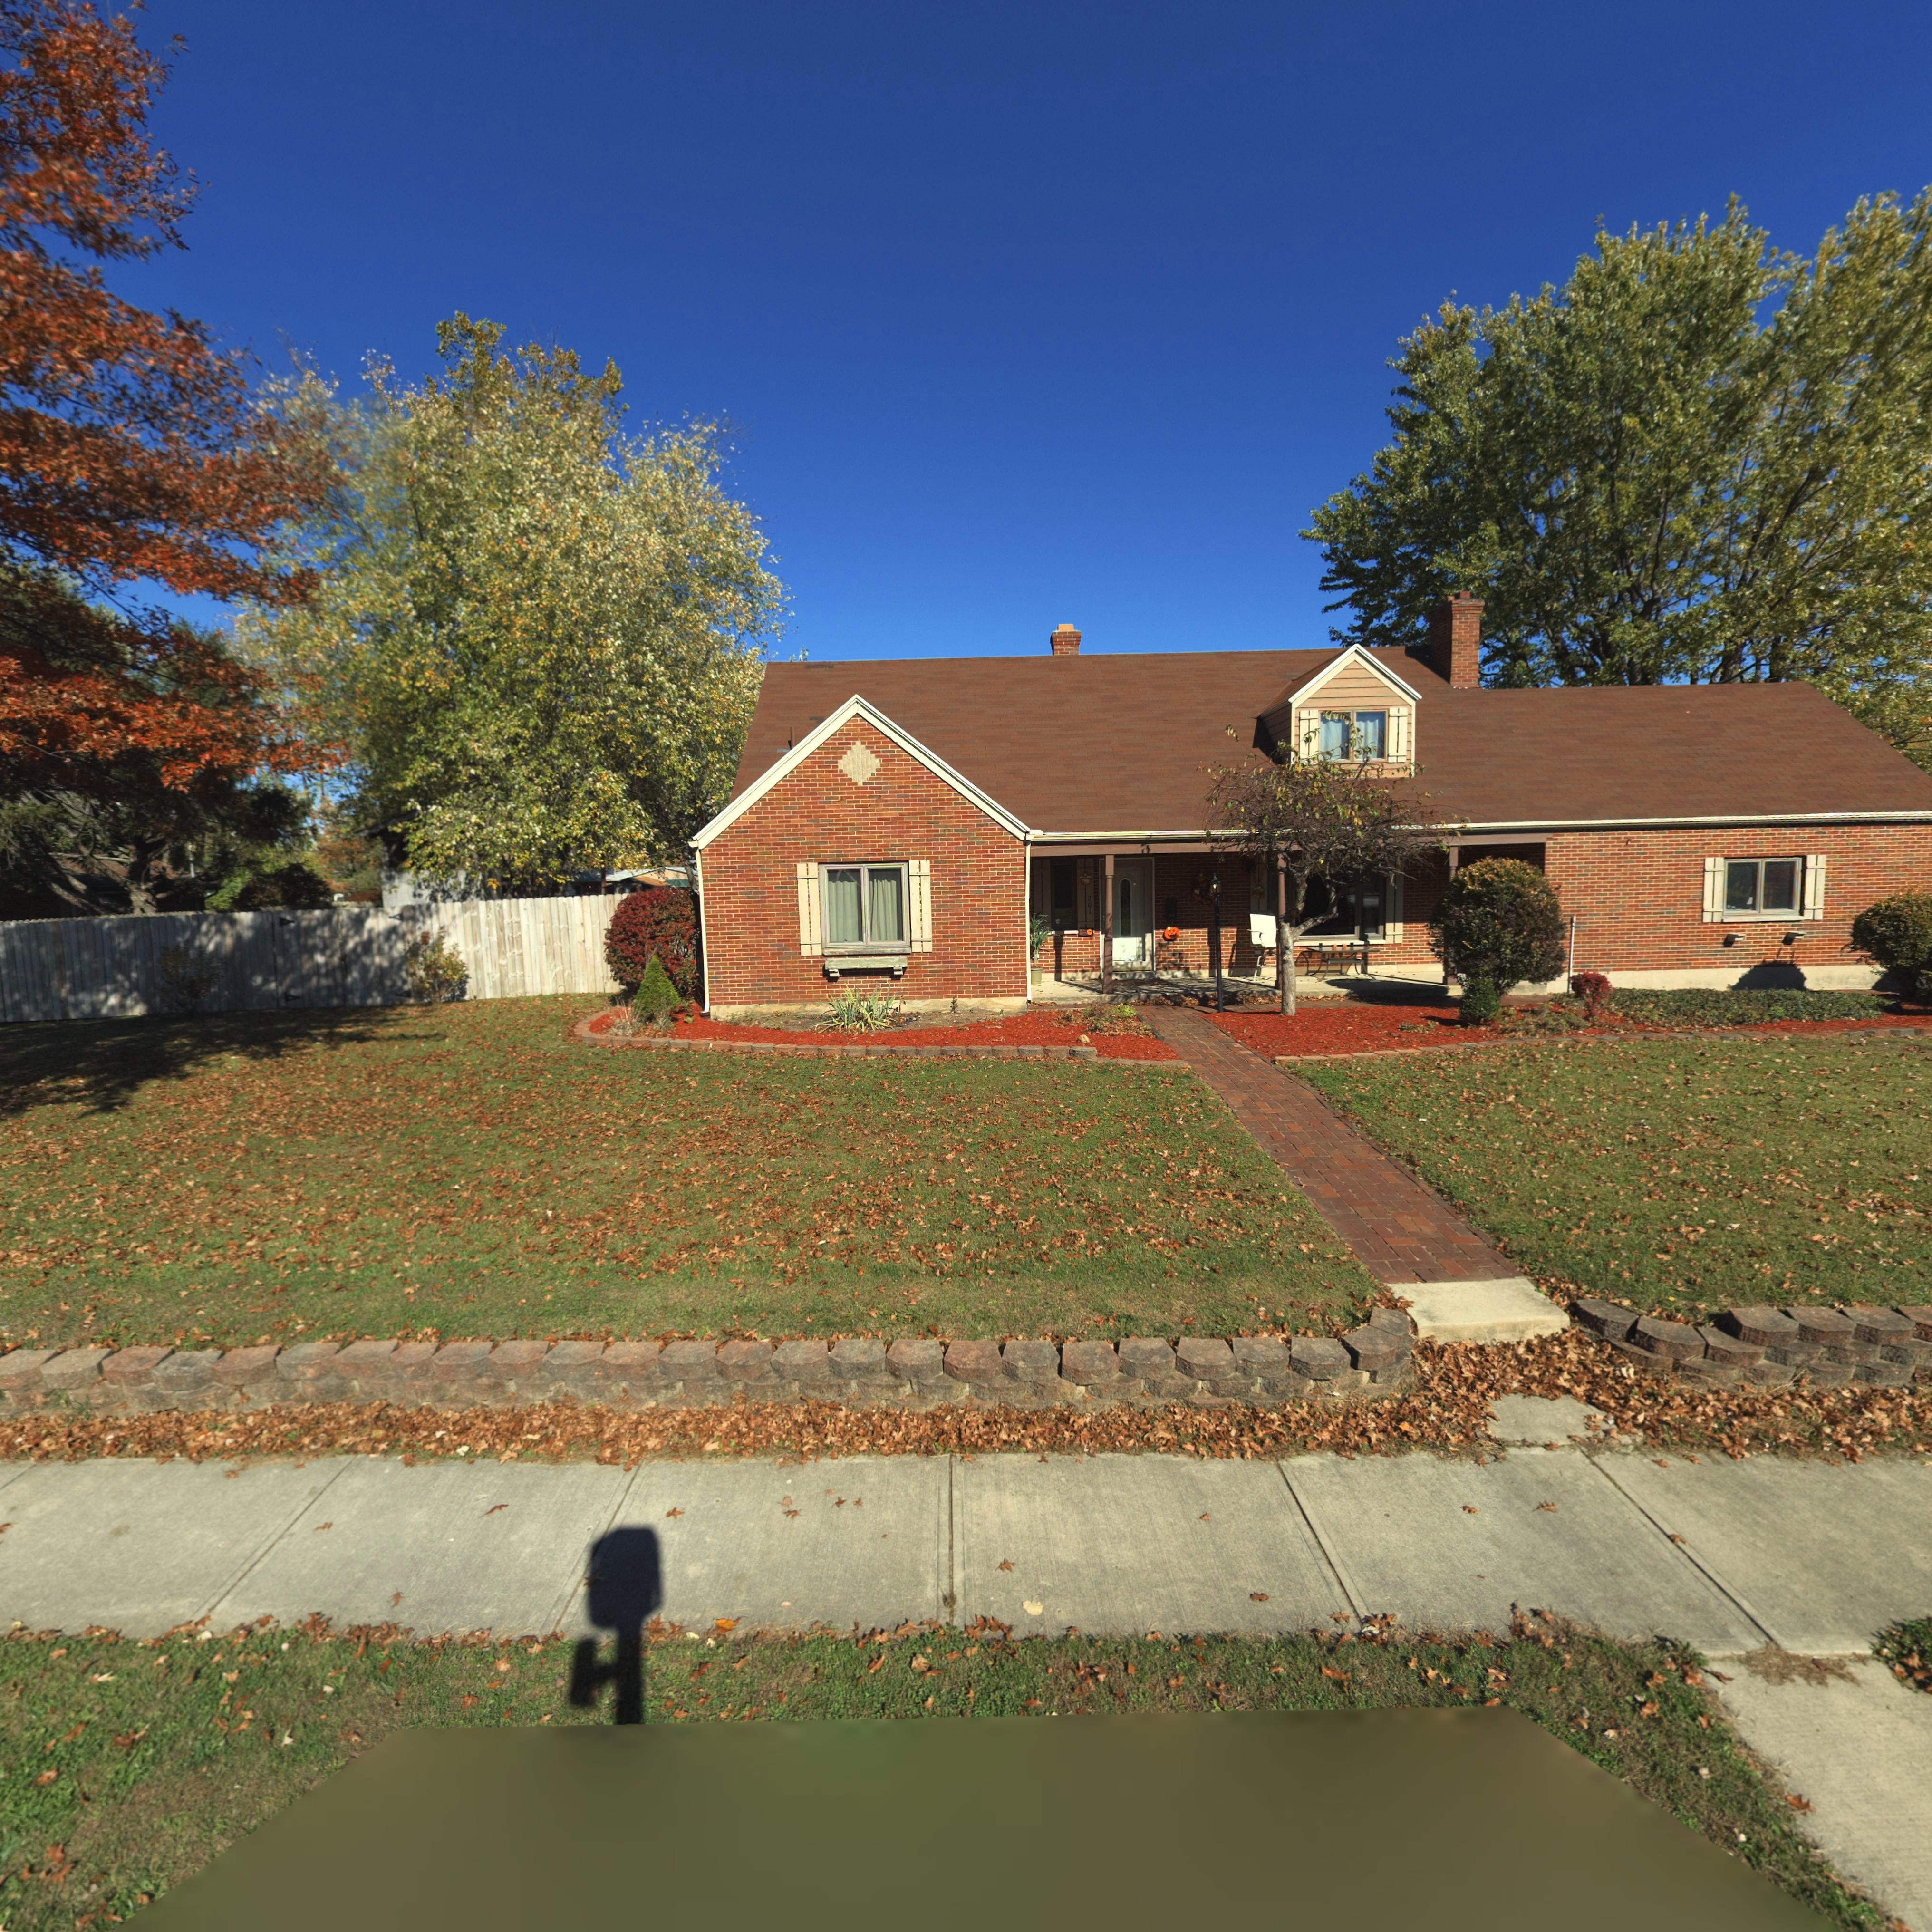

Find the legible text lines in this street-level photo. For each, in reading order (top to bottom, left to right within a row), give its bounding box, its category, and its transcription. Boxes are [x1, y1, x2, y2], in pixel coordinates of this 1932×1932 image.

[1088, 895, 1092, 915] StreetNumber: 201